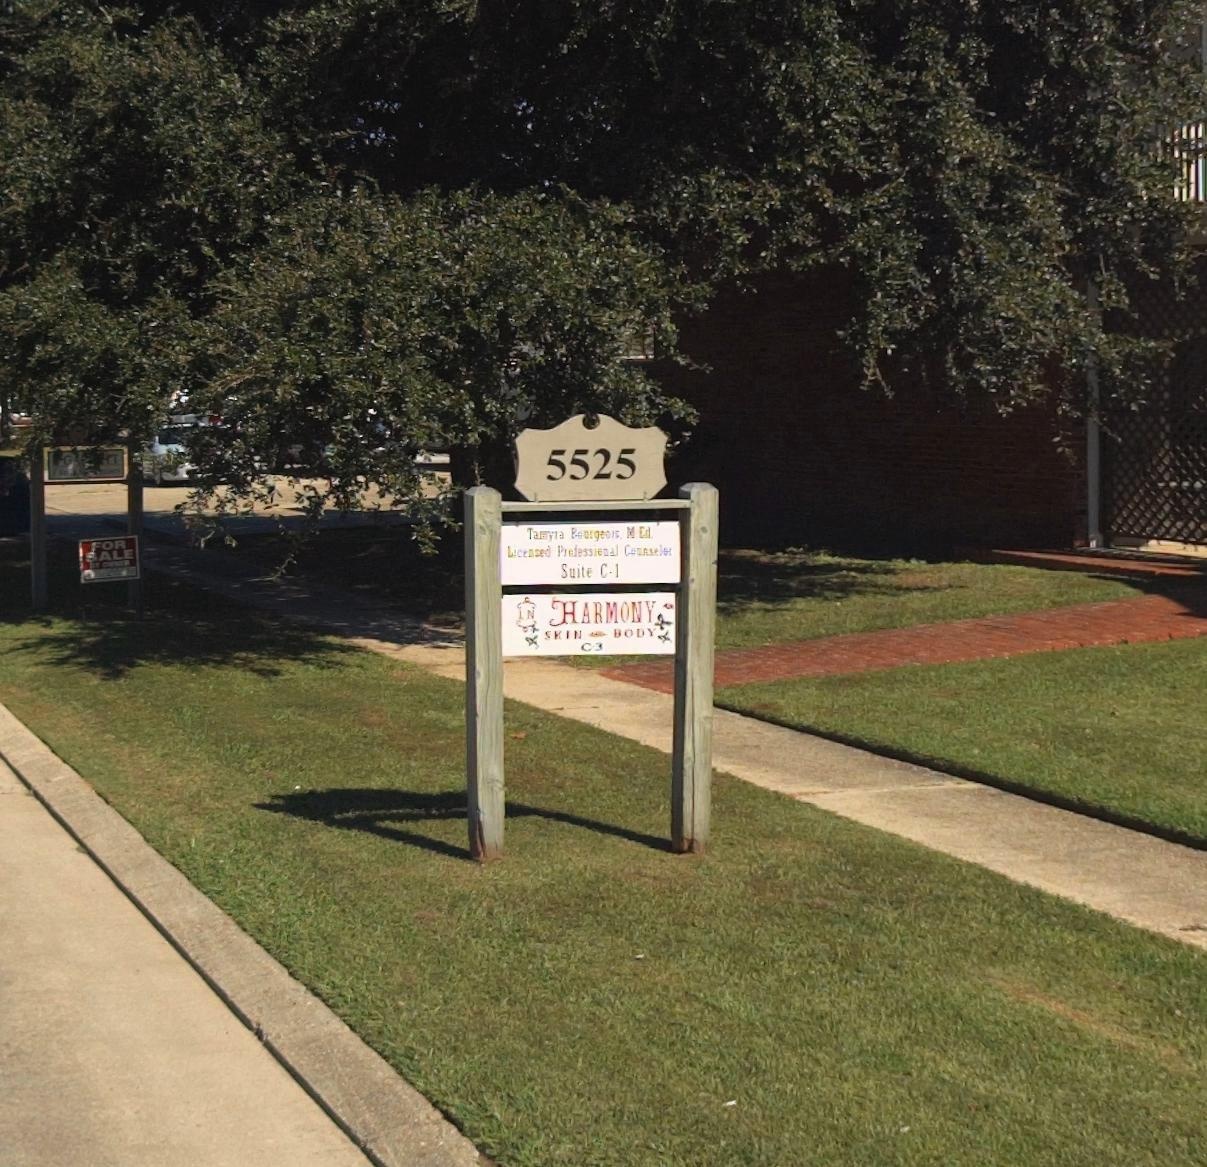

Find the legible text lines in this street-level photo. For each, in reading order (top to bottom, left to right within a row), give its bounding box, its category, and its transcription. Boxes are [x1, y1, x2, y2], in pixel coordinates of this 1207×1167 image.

[539, 446, 639, 483] StreetNumber: 5525
[524, 523, 654, 543] BusinessName: Tamyra Bourgeois, M.Ed.
[89, 537, 129, 553] None: FOR
[84, 547, 136, 563] None: SALE
[505, 541, 676, 561] BusinessName: Licensed Professional Counselor
[558, 561, 621, 580] SecondaryUnitDesignator: Suite C-1
[547, 597, 659, 630] BusinessName: HARMONY
[542, 624, 659, 643] BusinessName: SKIN * BODY
[579, 639, 606, 654] SecondaryUnitDesignator: C-3